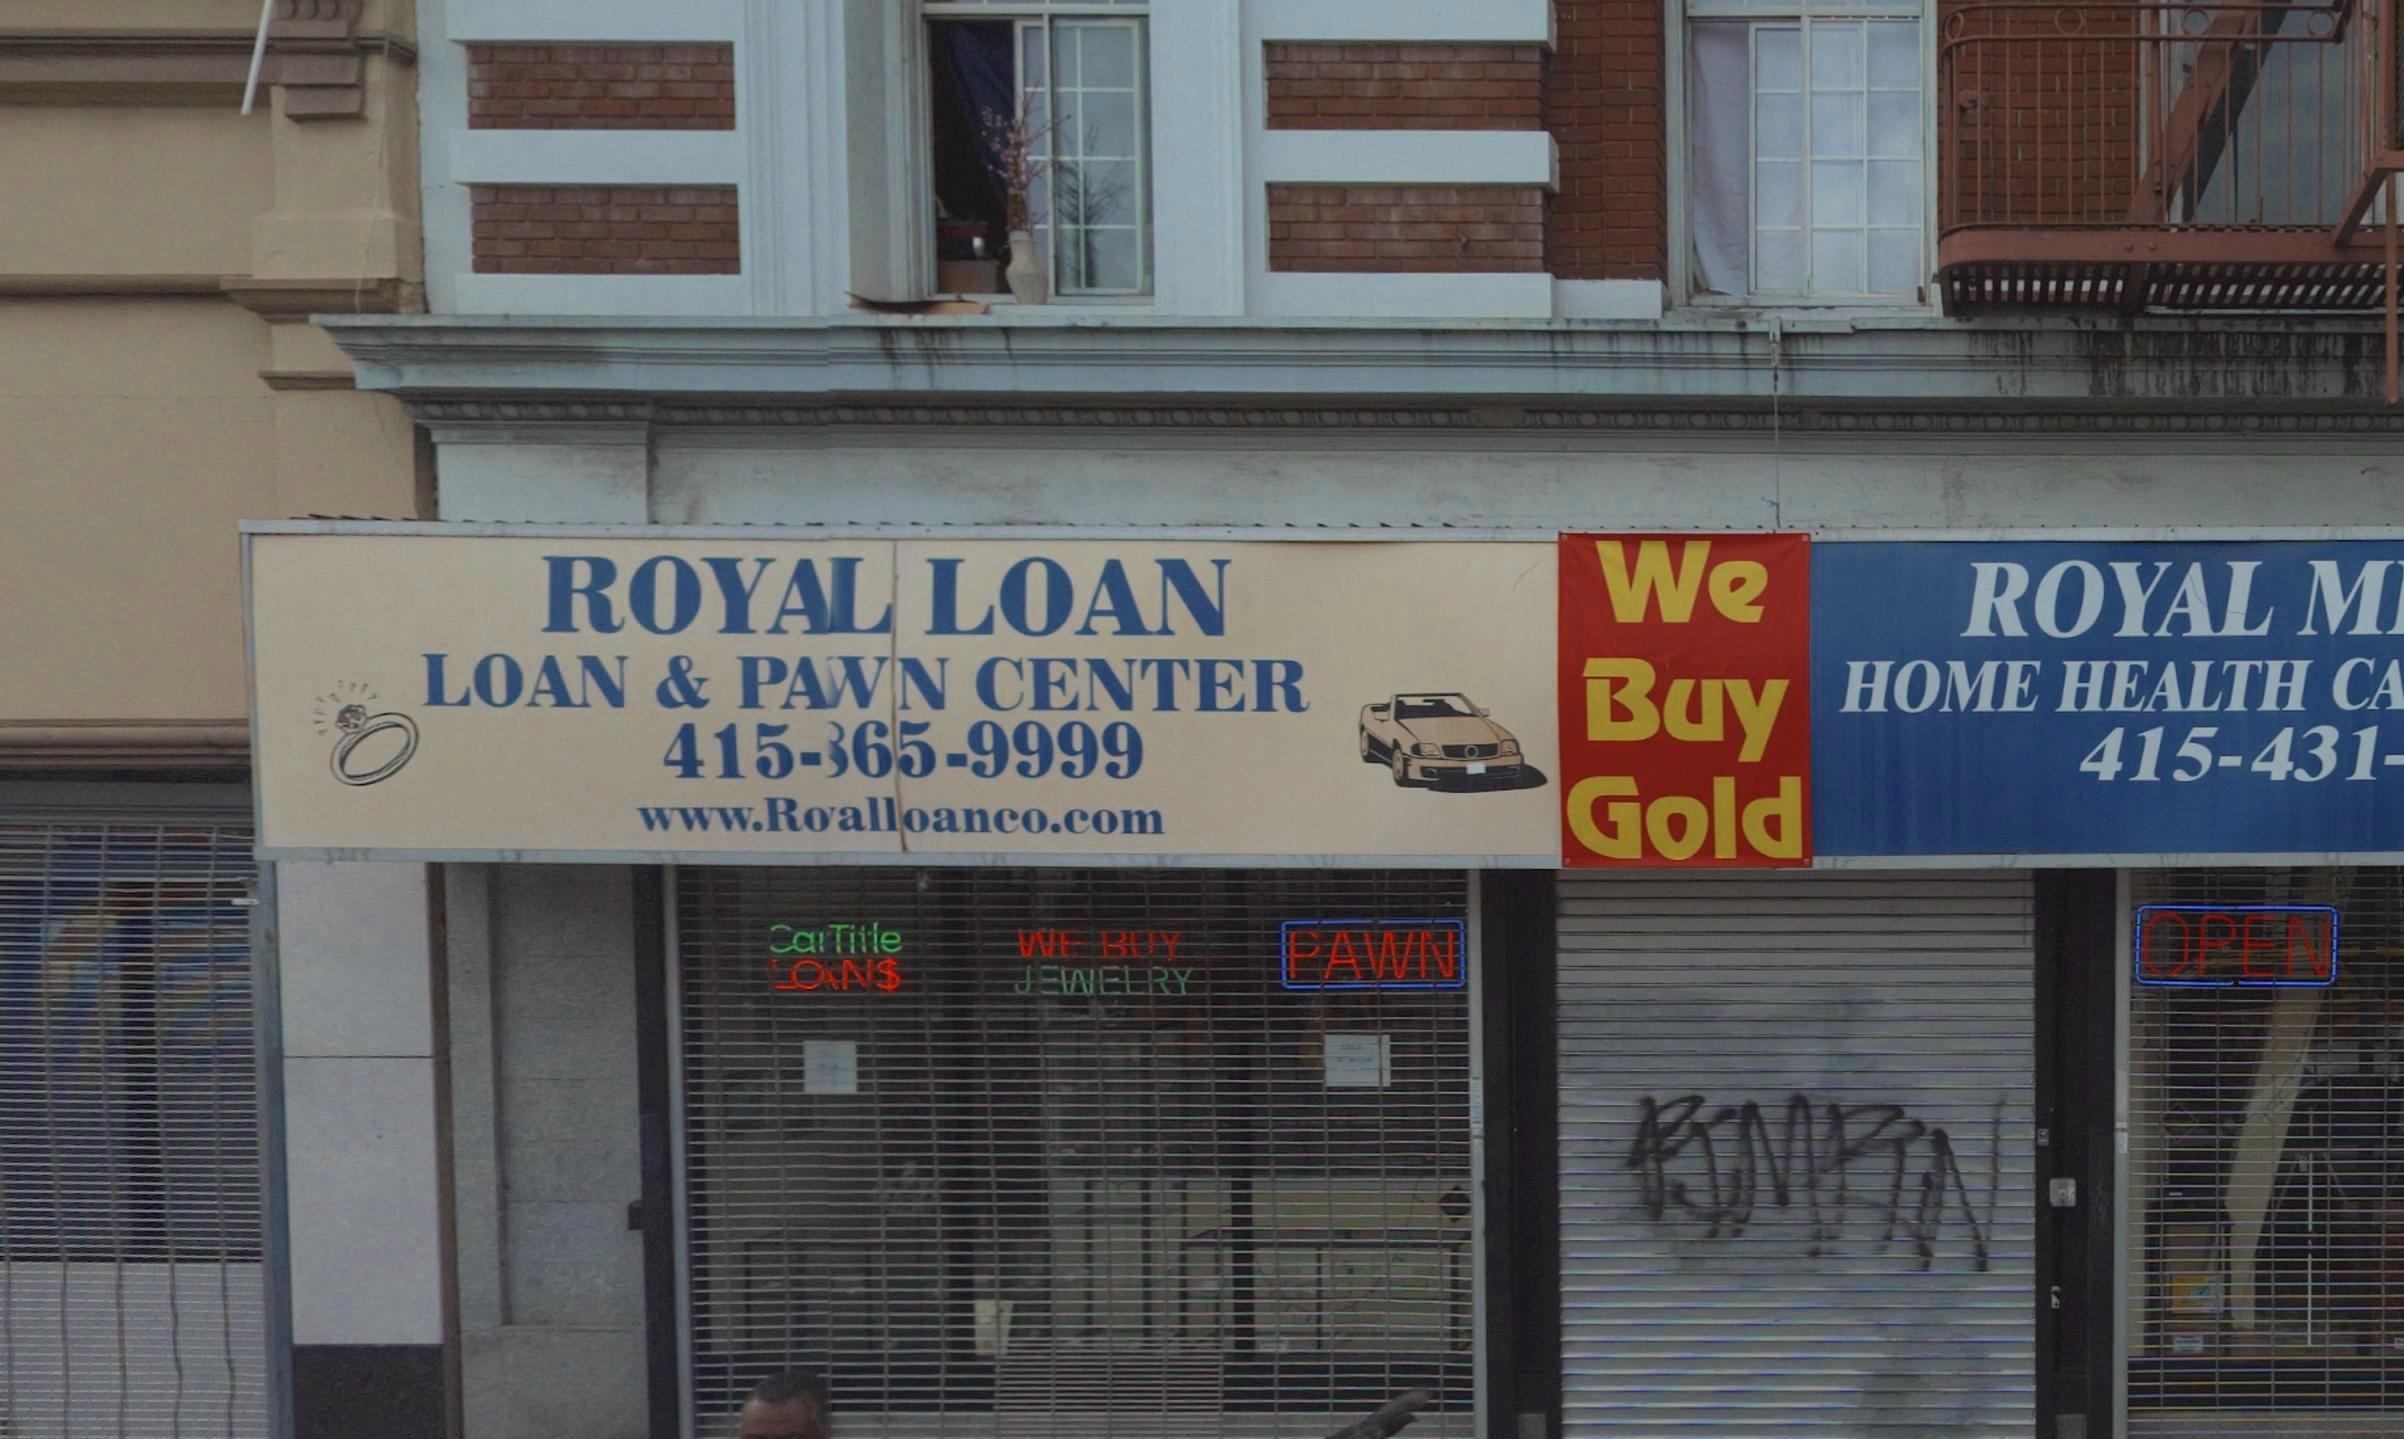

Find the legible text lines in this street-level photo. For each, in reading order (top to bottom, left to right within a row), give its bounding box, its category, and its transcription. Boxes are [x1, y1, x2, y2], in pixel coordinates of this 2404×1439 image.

[533, 548, 1238, 643] BusinessName: ROY** LOAN
[1589, 536, 1775, 628] None: We
[1955, 557, 2399, 641] BusinessName: ROYAL M
[418, 645, 1316, 716] BusinessName: LOAN & P**N CENTER
[1580, 655, 1797, 768] None: Buy
[1834, 654, 2404, 716] None: HOME HEALTH CA
[656, 715, 1152, 786] None: 415-*65-9999
[2074, 720, 2385, 788] None: 415-431
[629, 790, 1169, 841] None: www.R**alloanco.com
[1562, 769, 1808, 865] None: Gold
[786, 957, 828, 993] None: O
[789, 918, 907, 956] None: a* T*tle
[1013, 924, 1060, 961] None: W'
[1007, 962, 1198, 998] None: J*WE**Y
[1285, 927, 1459, 983] None: PAWN
[2140, 909, 2334, 982] None: OPEN
[1908, 1119, 2008, 1281] None: N